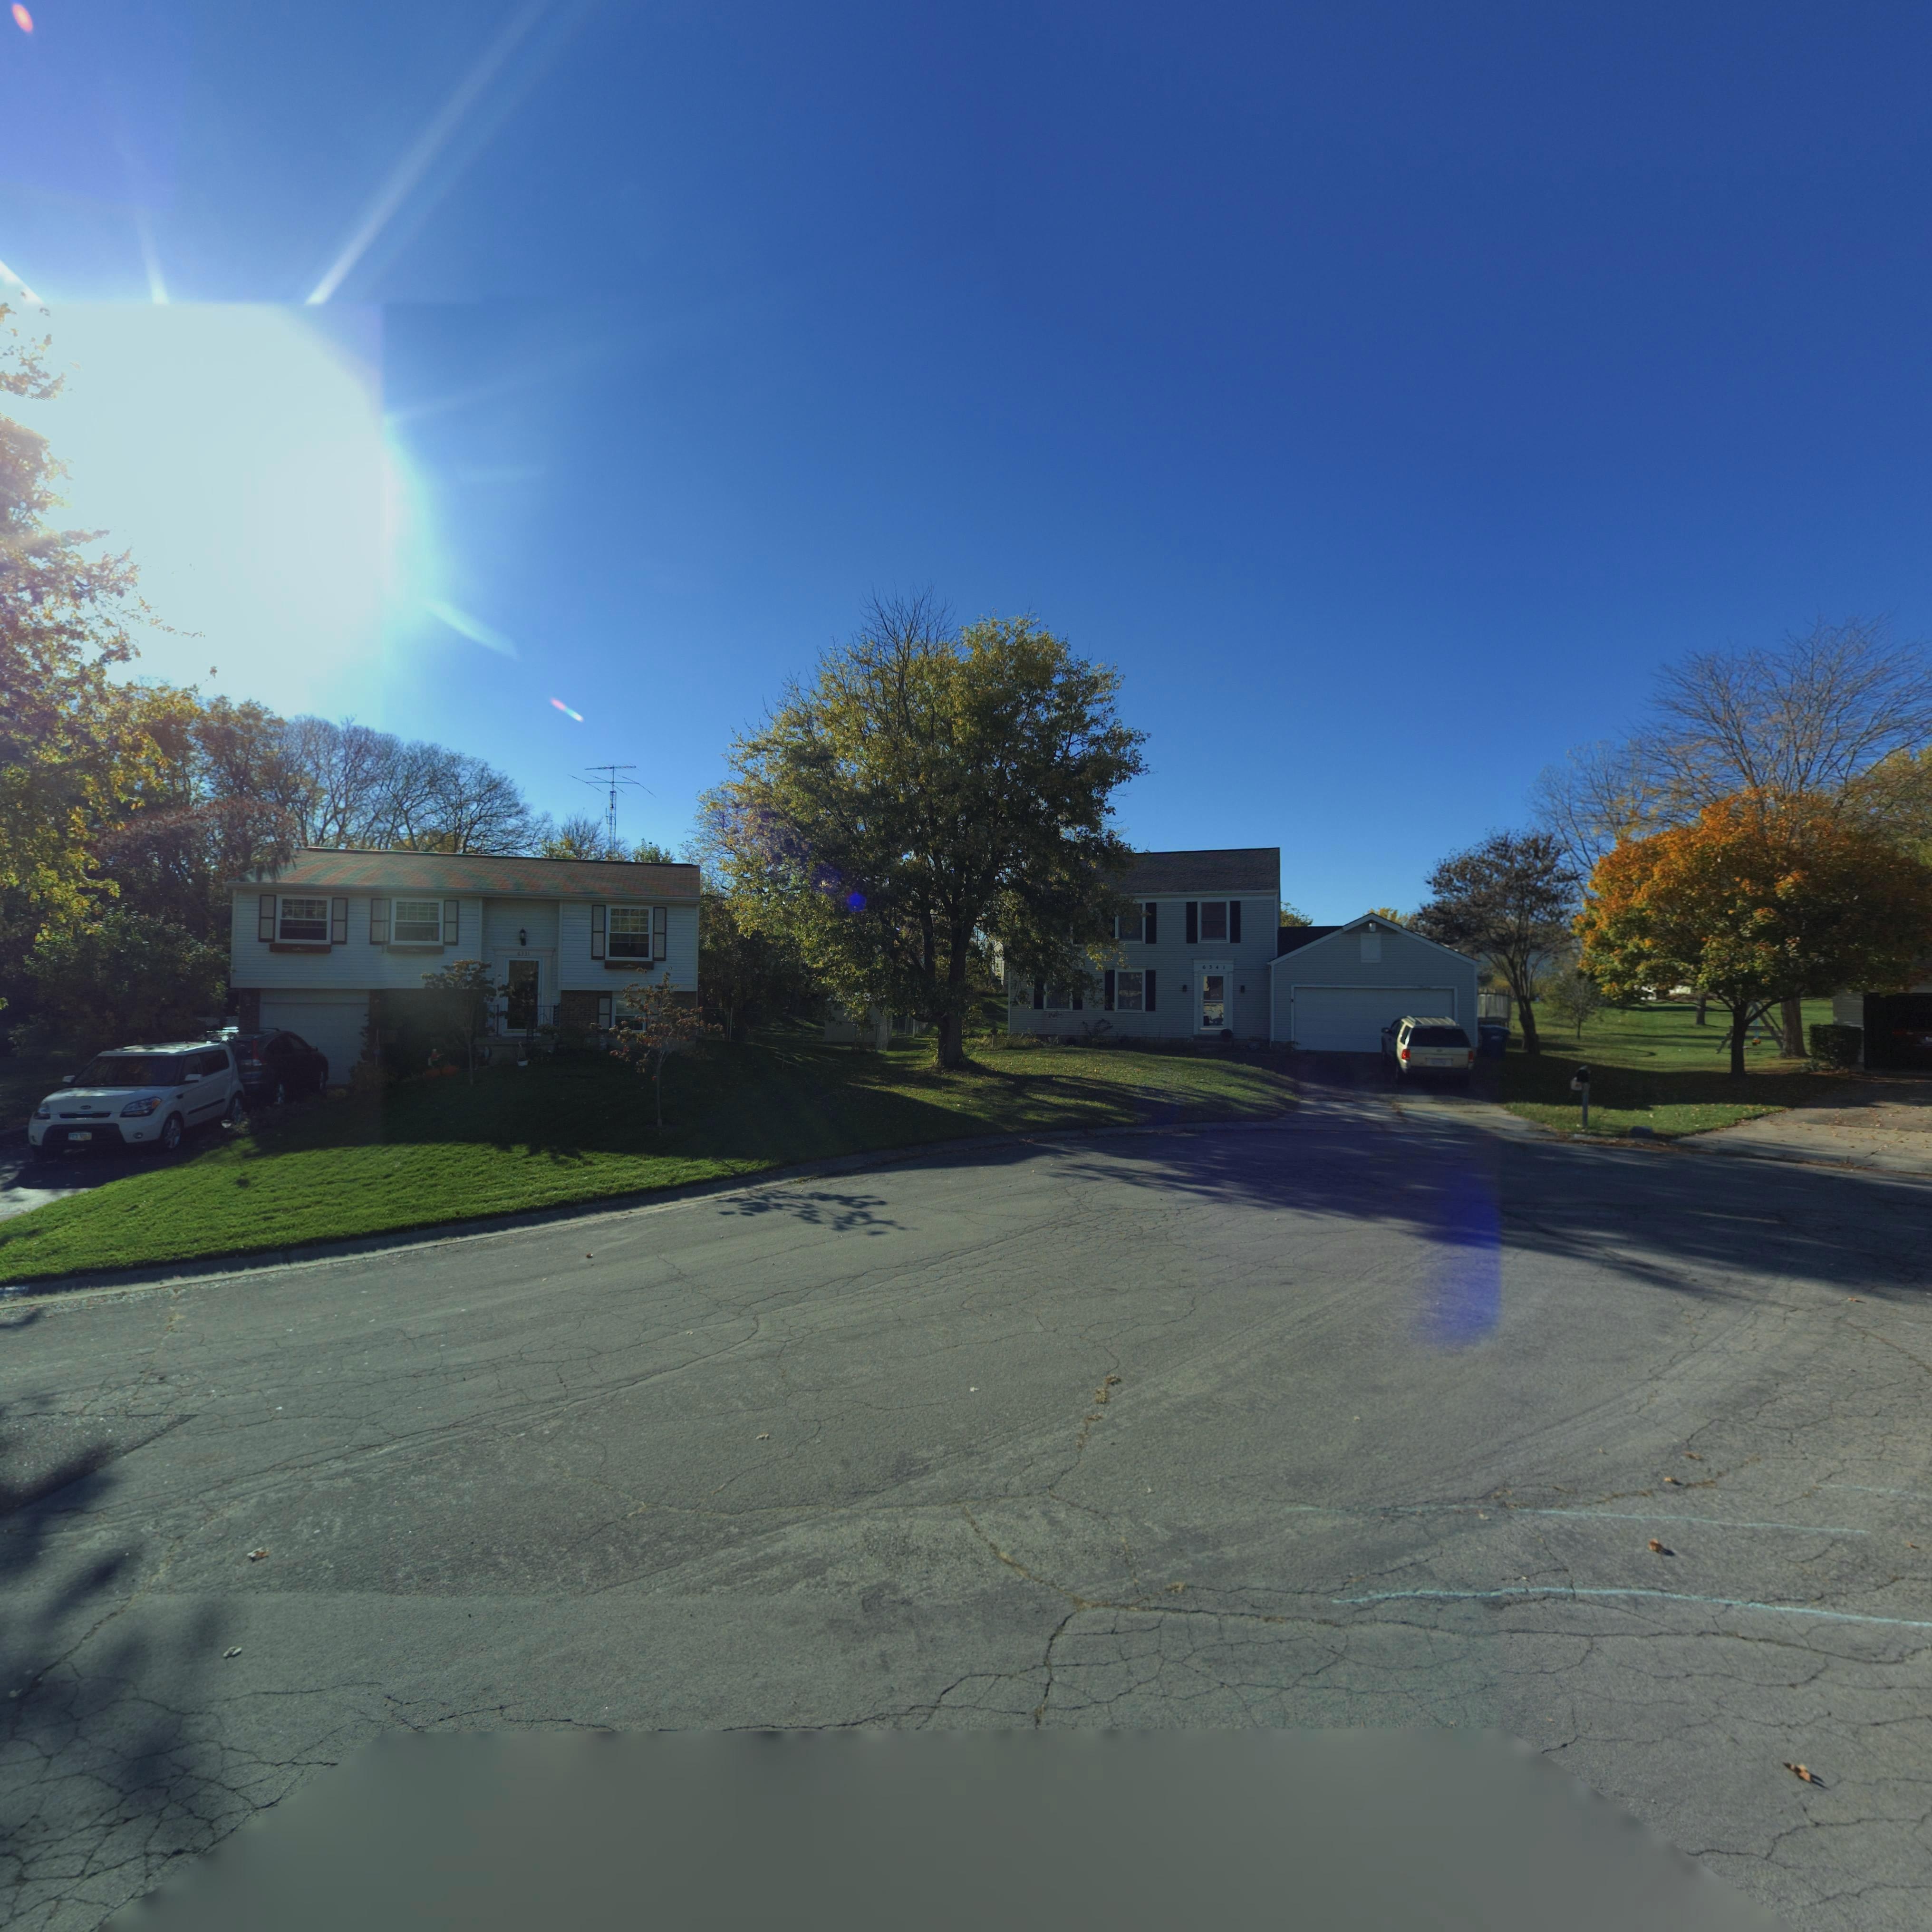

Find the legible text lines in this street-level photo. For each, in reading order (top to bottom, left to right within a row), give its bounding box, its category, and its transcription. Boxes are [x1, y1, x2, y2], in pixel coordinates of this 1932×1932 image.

[516, 950, 531, 957] StreetNumber: 6331
[1201, 964, 1226, 971] StreetNumber: 6341